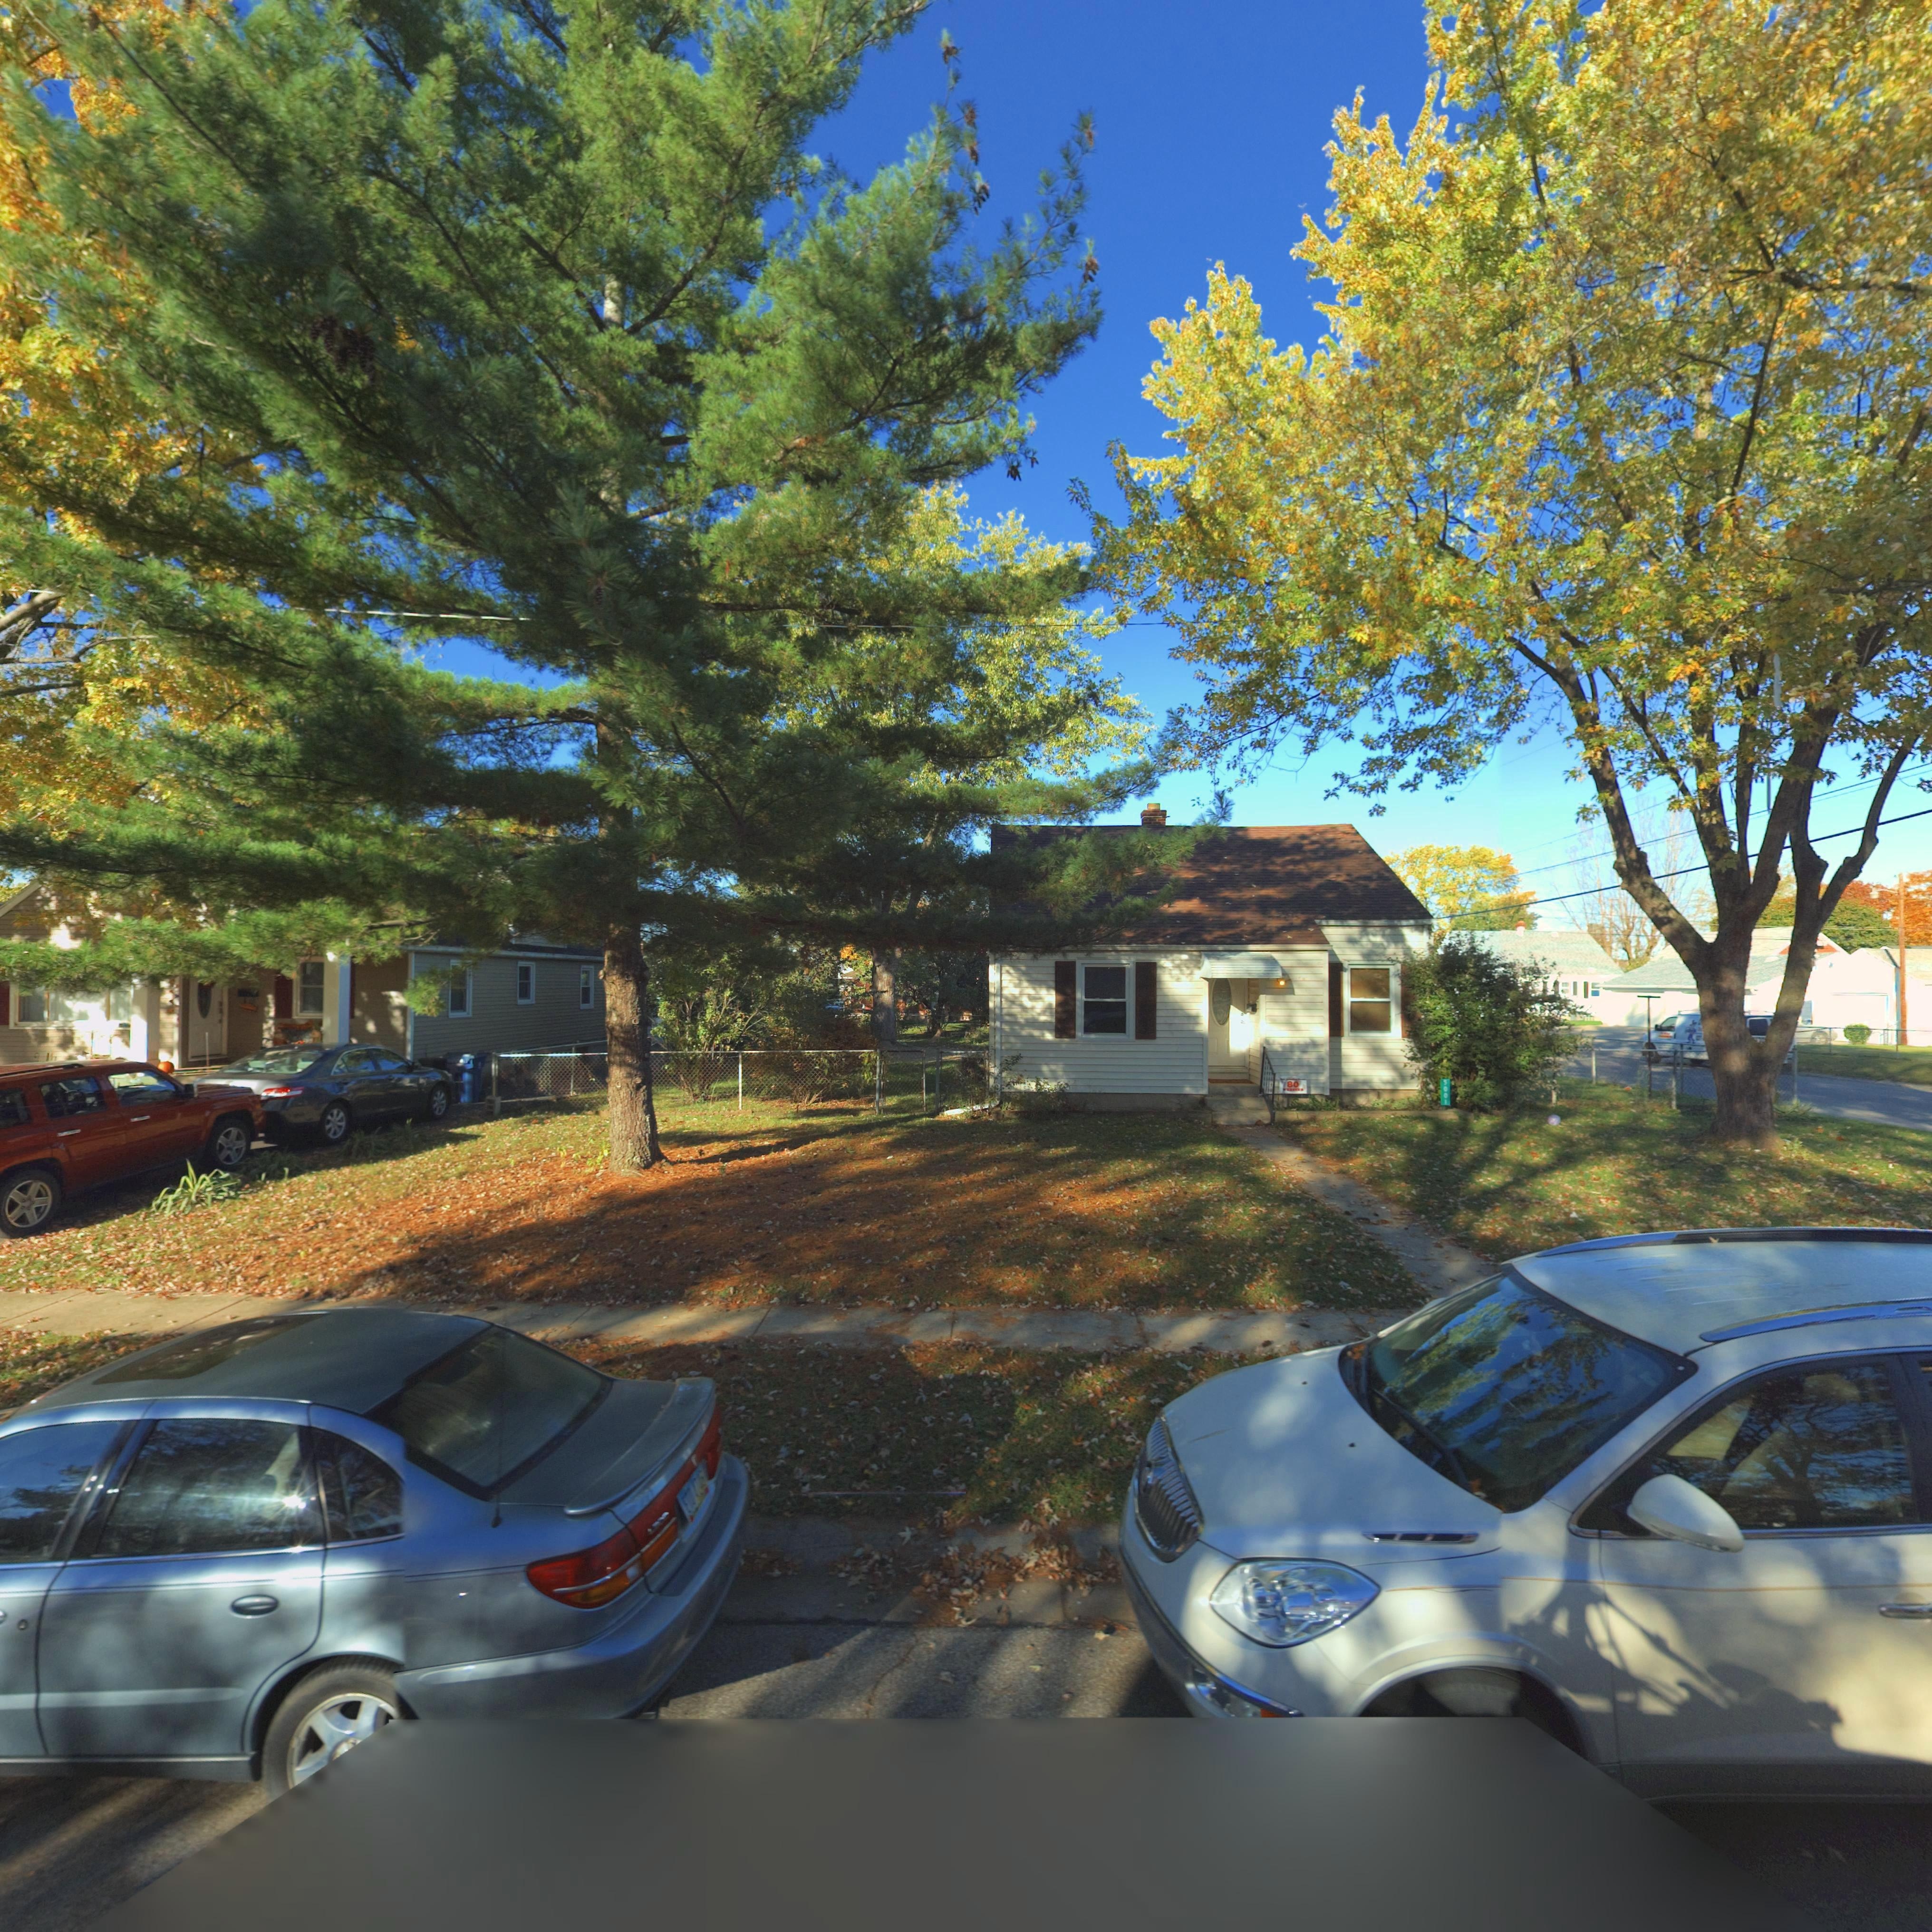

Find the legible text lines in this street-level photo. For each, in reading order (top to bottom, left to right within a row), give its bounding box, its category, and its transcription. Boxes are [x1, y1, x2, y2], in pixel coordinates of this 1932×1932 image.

[1442, 1079, 1449, 1105] StreetNumber: 5001